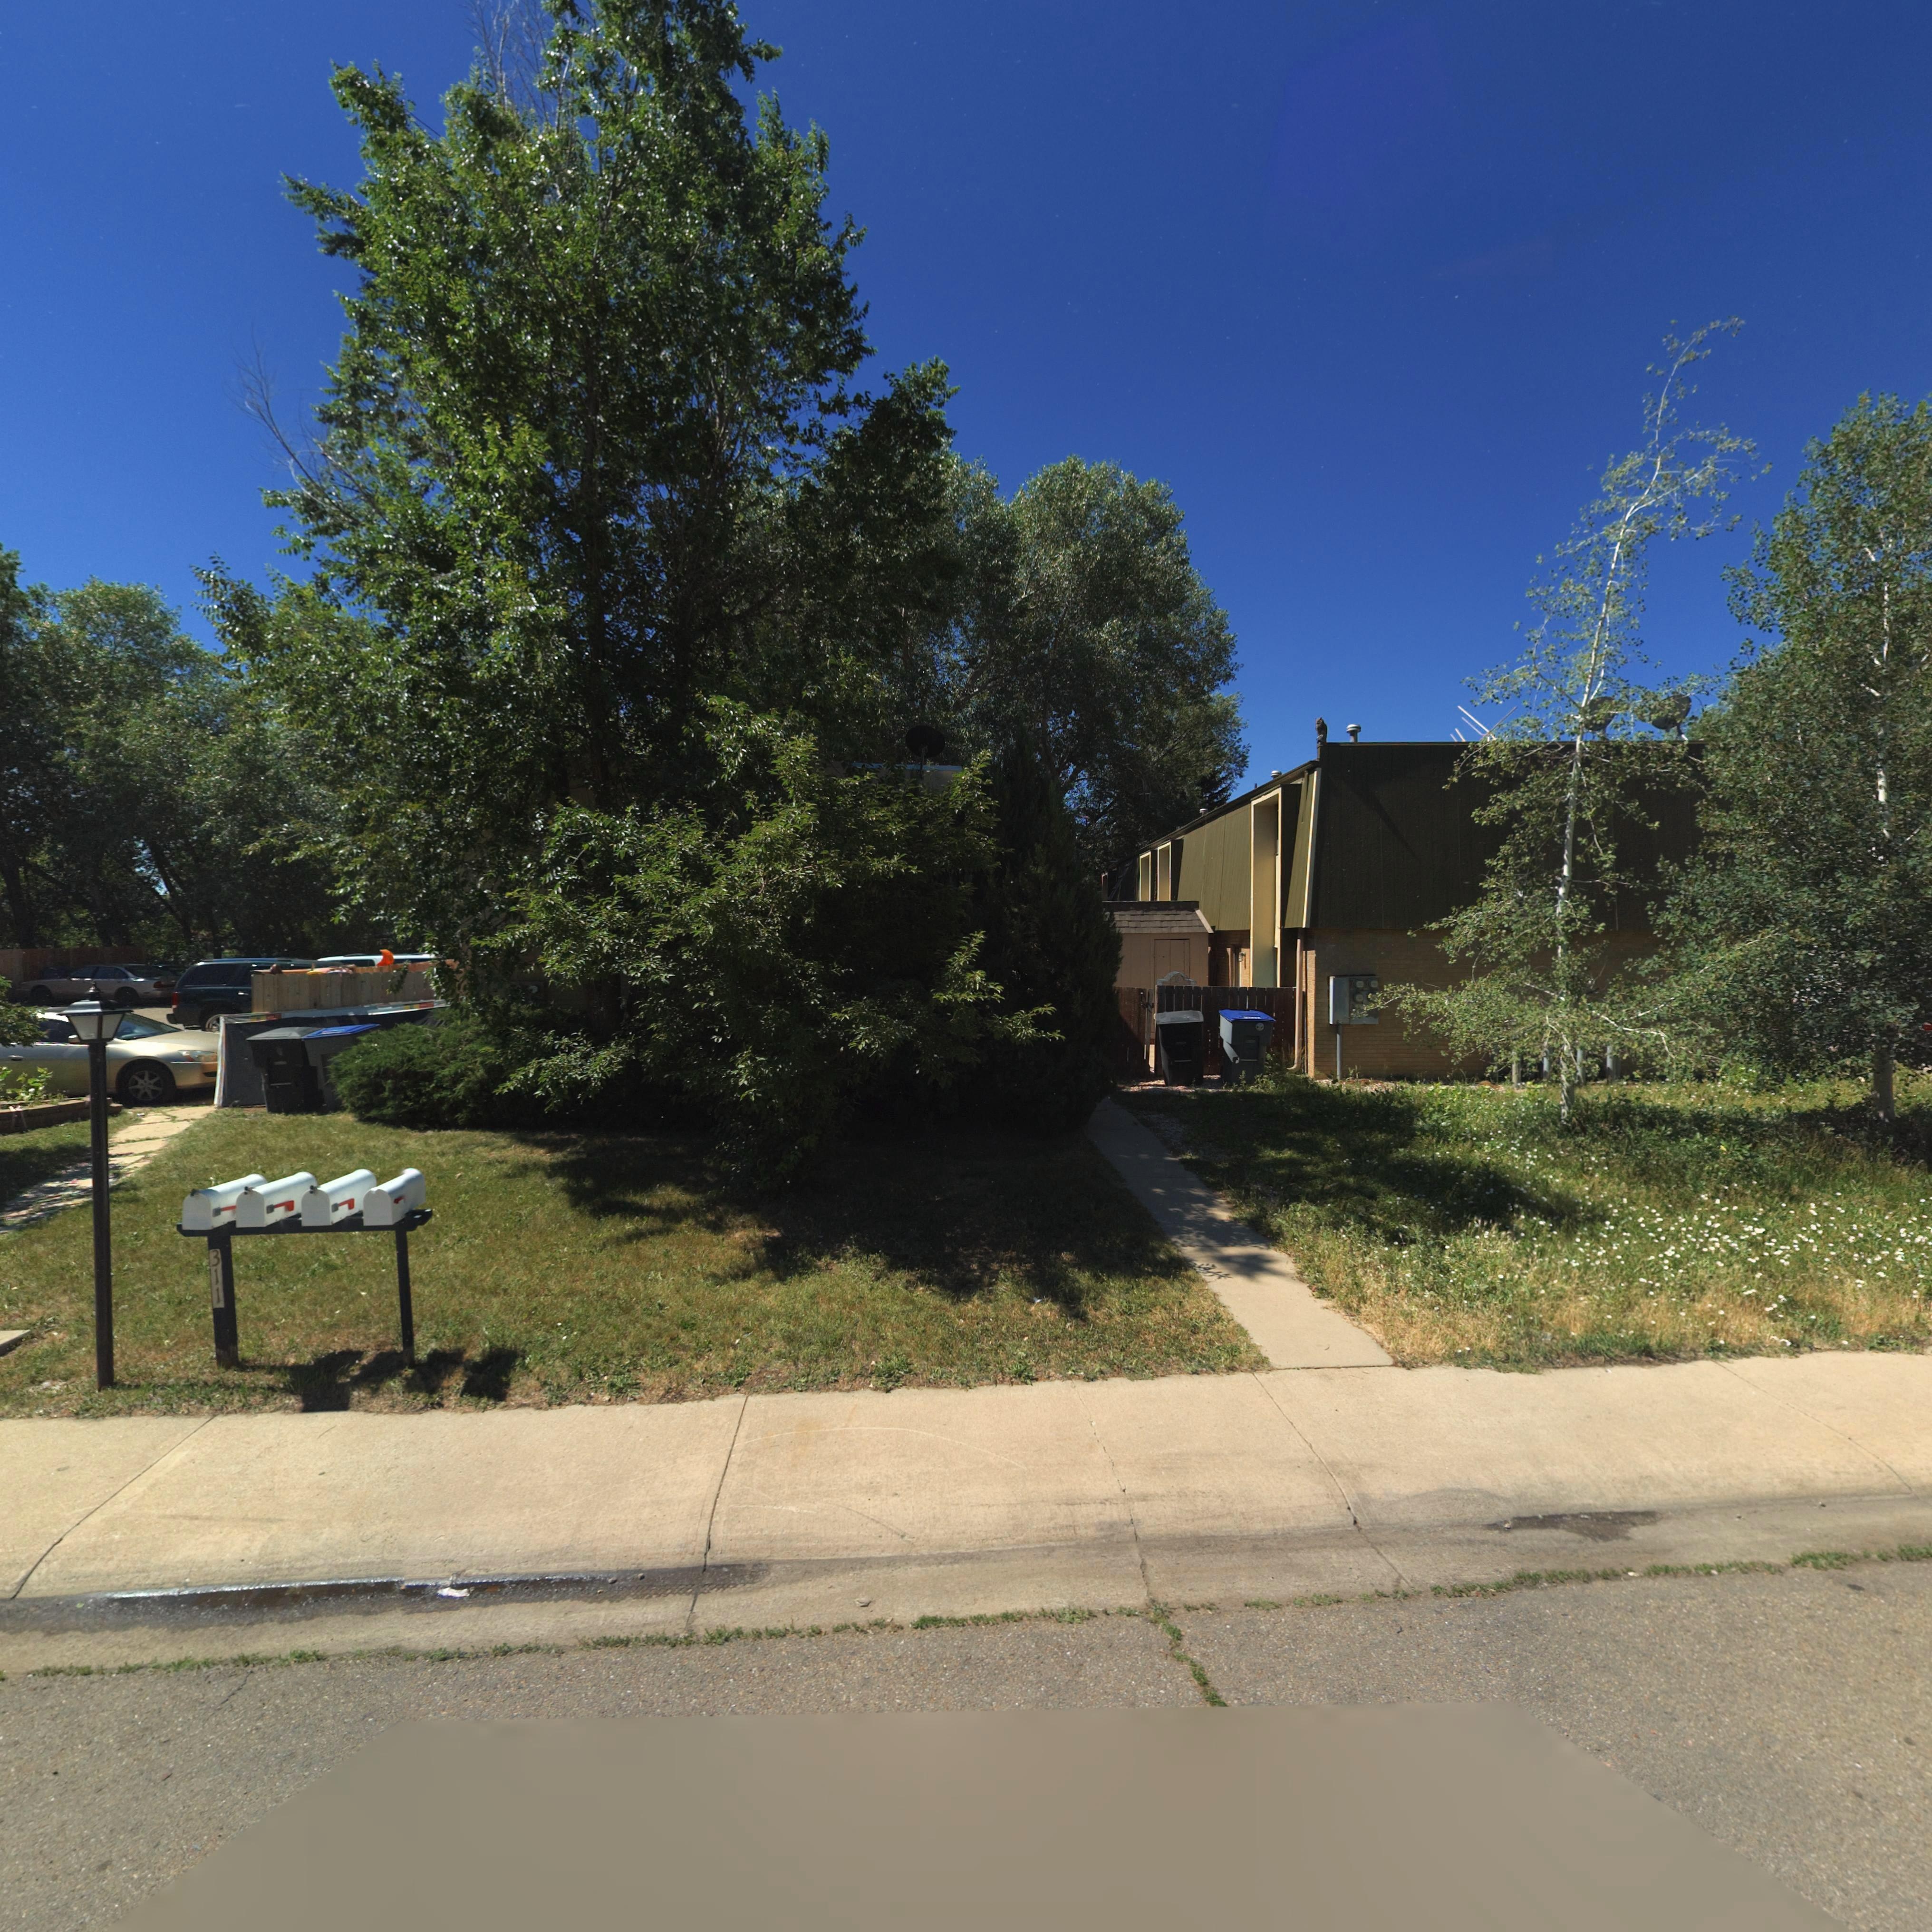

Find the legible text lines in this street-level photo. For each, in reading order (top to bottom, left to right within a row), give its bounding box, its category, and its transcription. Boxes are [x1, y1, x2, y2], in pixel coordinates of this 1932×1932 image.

[209, 1249, 224, 1305] StreetNumber: 311